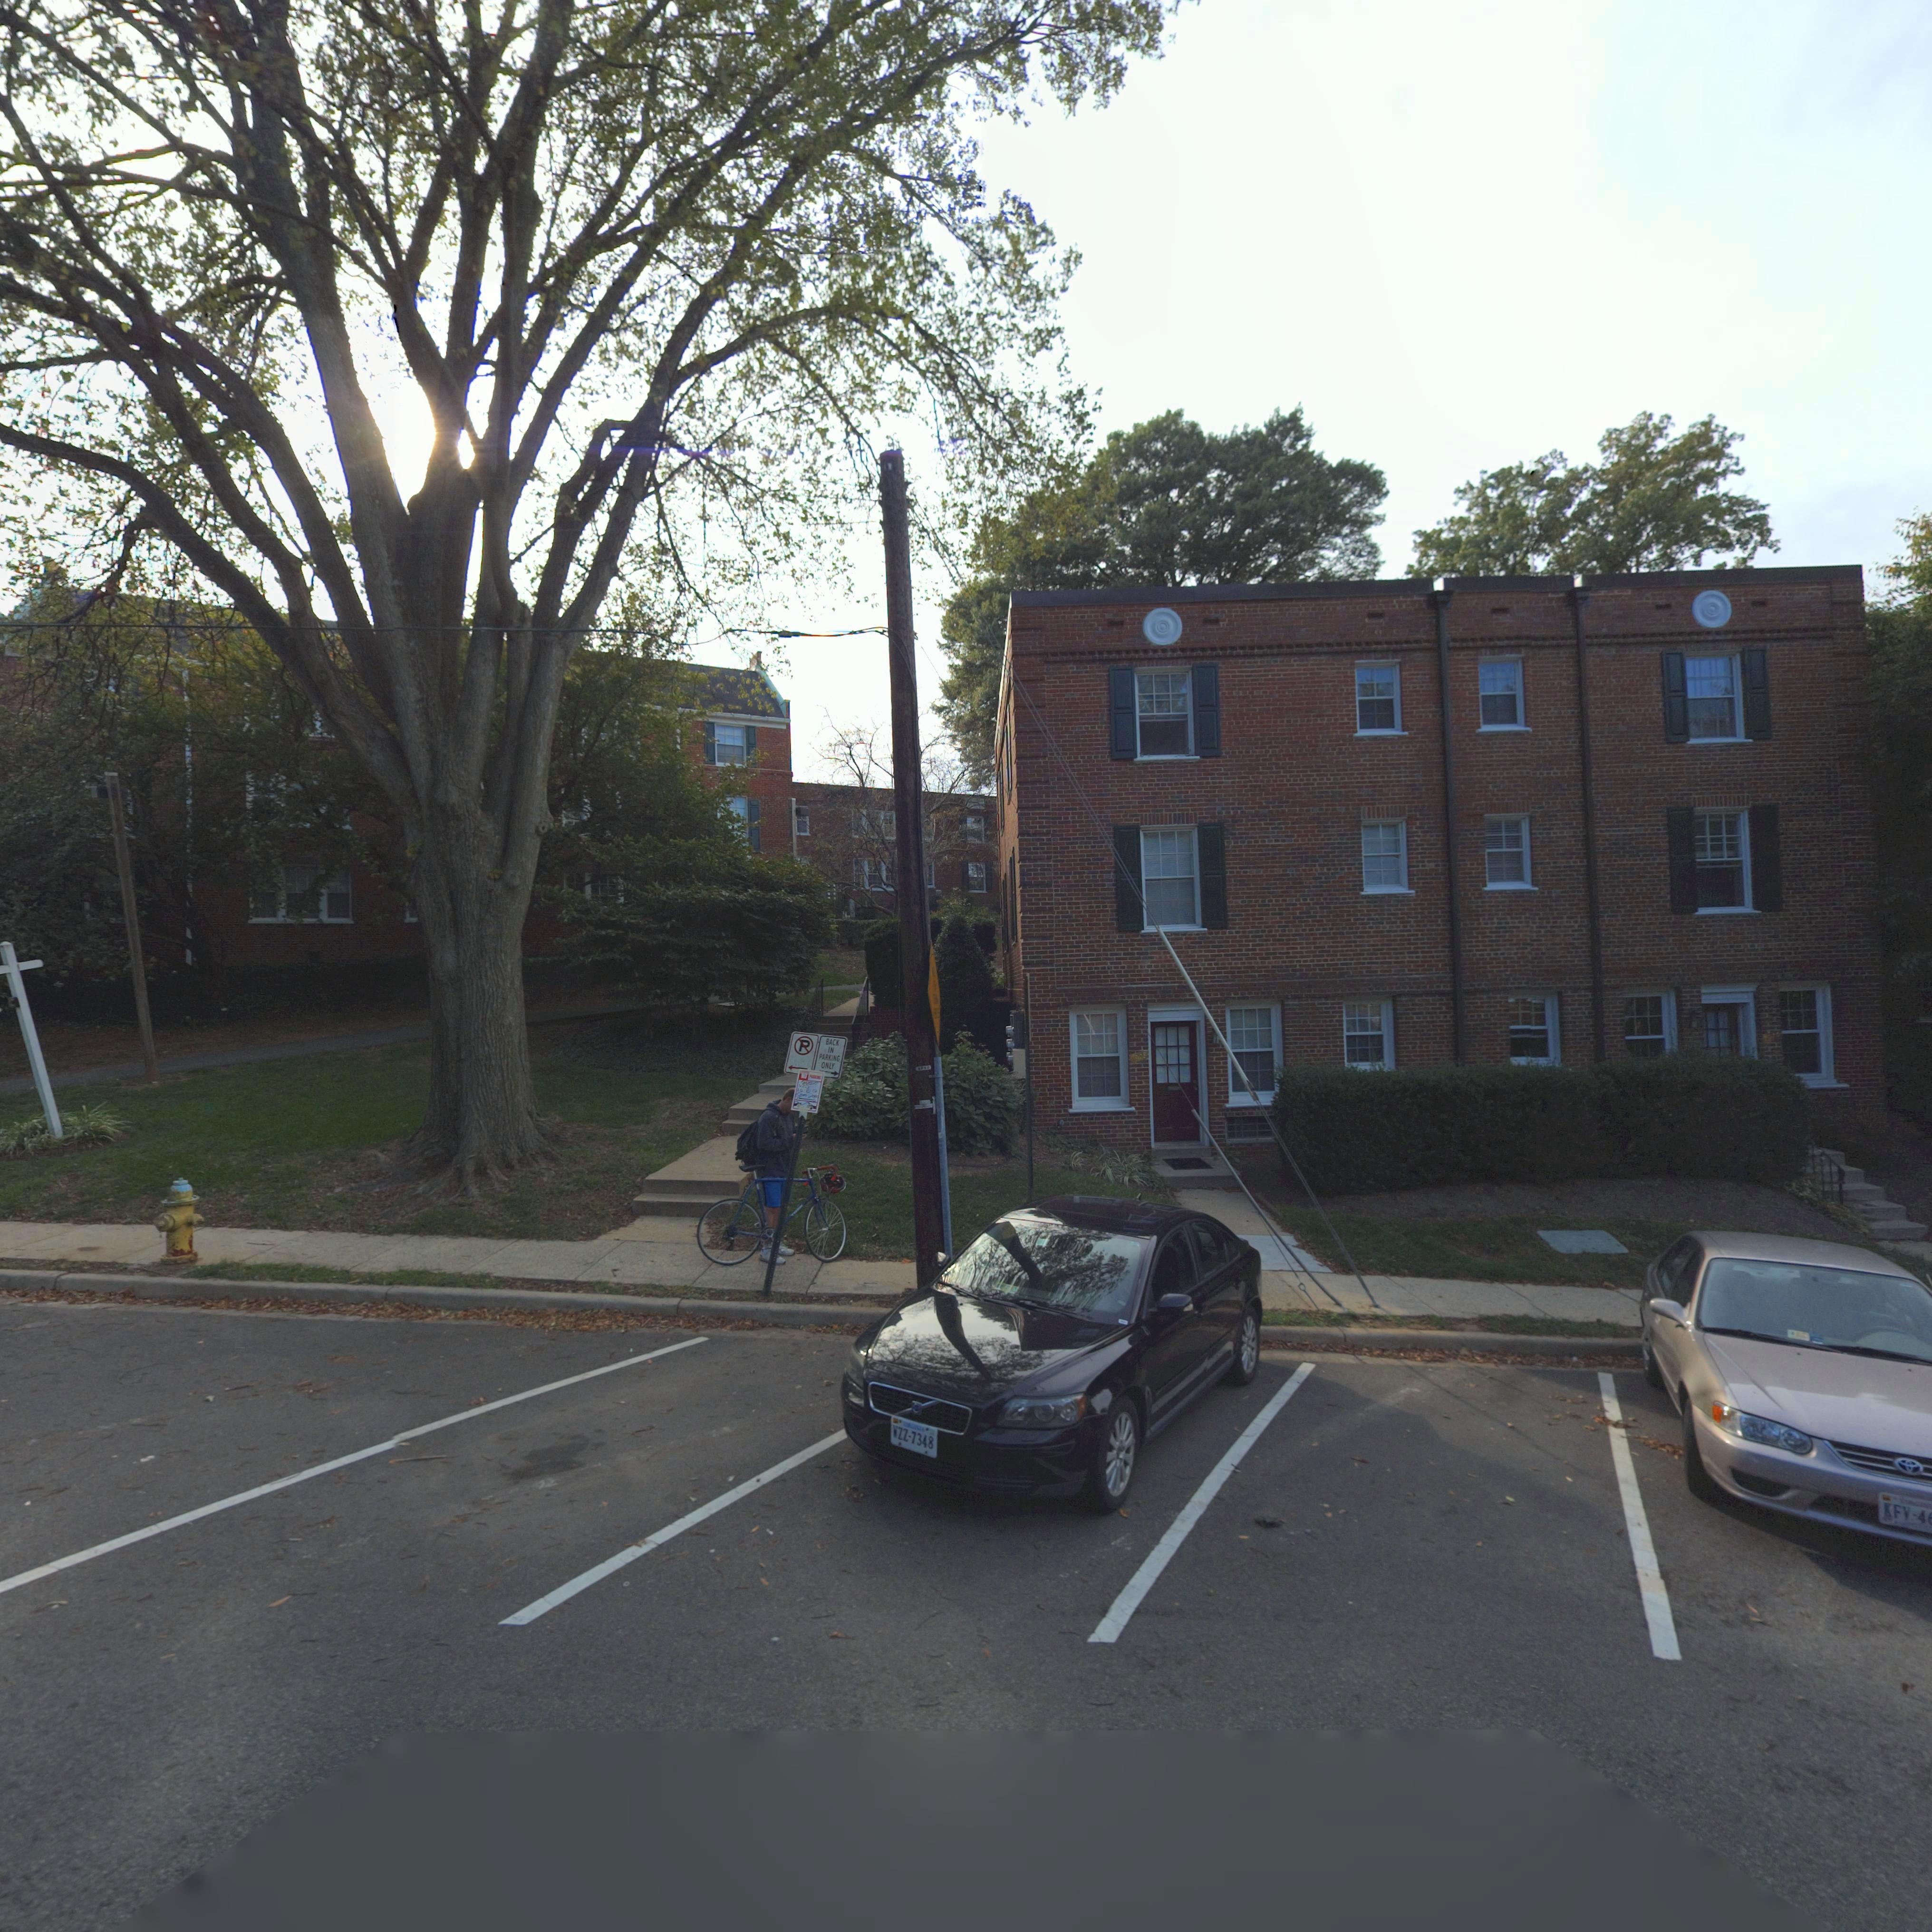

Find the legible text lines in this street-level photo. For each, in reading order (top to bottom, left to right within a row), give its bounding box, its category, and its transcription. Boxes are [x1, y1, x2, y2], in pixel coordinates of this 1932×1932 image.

[824, 1036, 840, 1048] None: BACK
[827, 1045, 835, 1055] None: IN
[817, 1052, 841, 1063] None: PARKING
[819, 1061, 836, 1071] None: ONLY
[892, 1423, 935, 1452] None: WZZ-7348
[1880, 1498, 1929, 1528] None: KFV-4